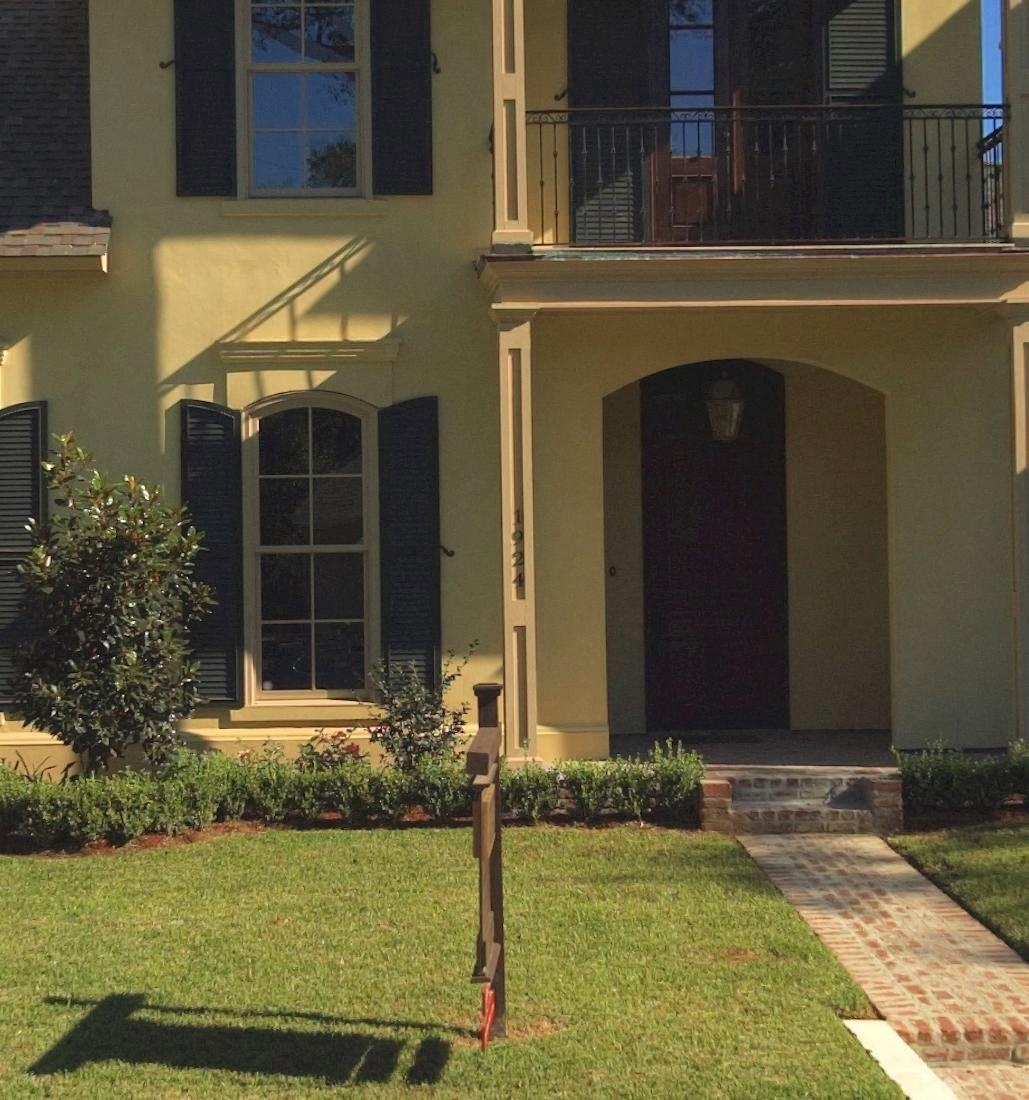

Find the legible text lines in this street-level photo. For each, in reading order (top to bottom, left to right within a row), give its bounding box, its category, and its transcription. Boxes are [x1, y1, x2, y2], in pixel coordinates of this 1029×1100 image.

[510, 507, 525, 590] StreetNumber: 1924